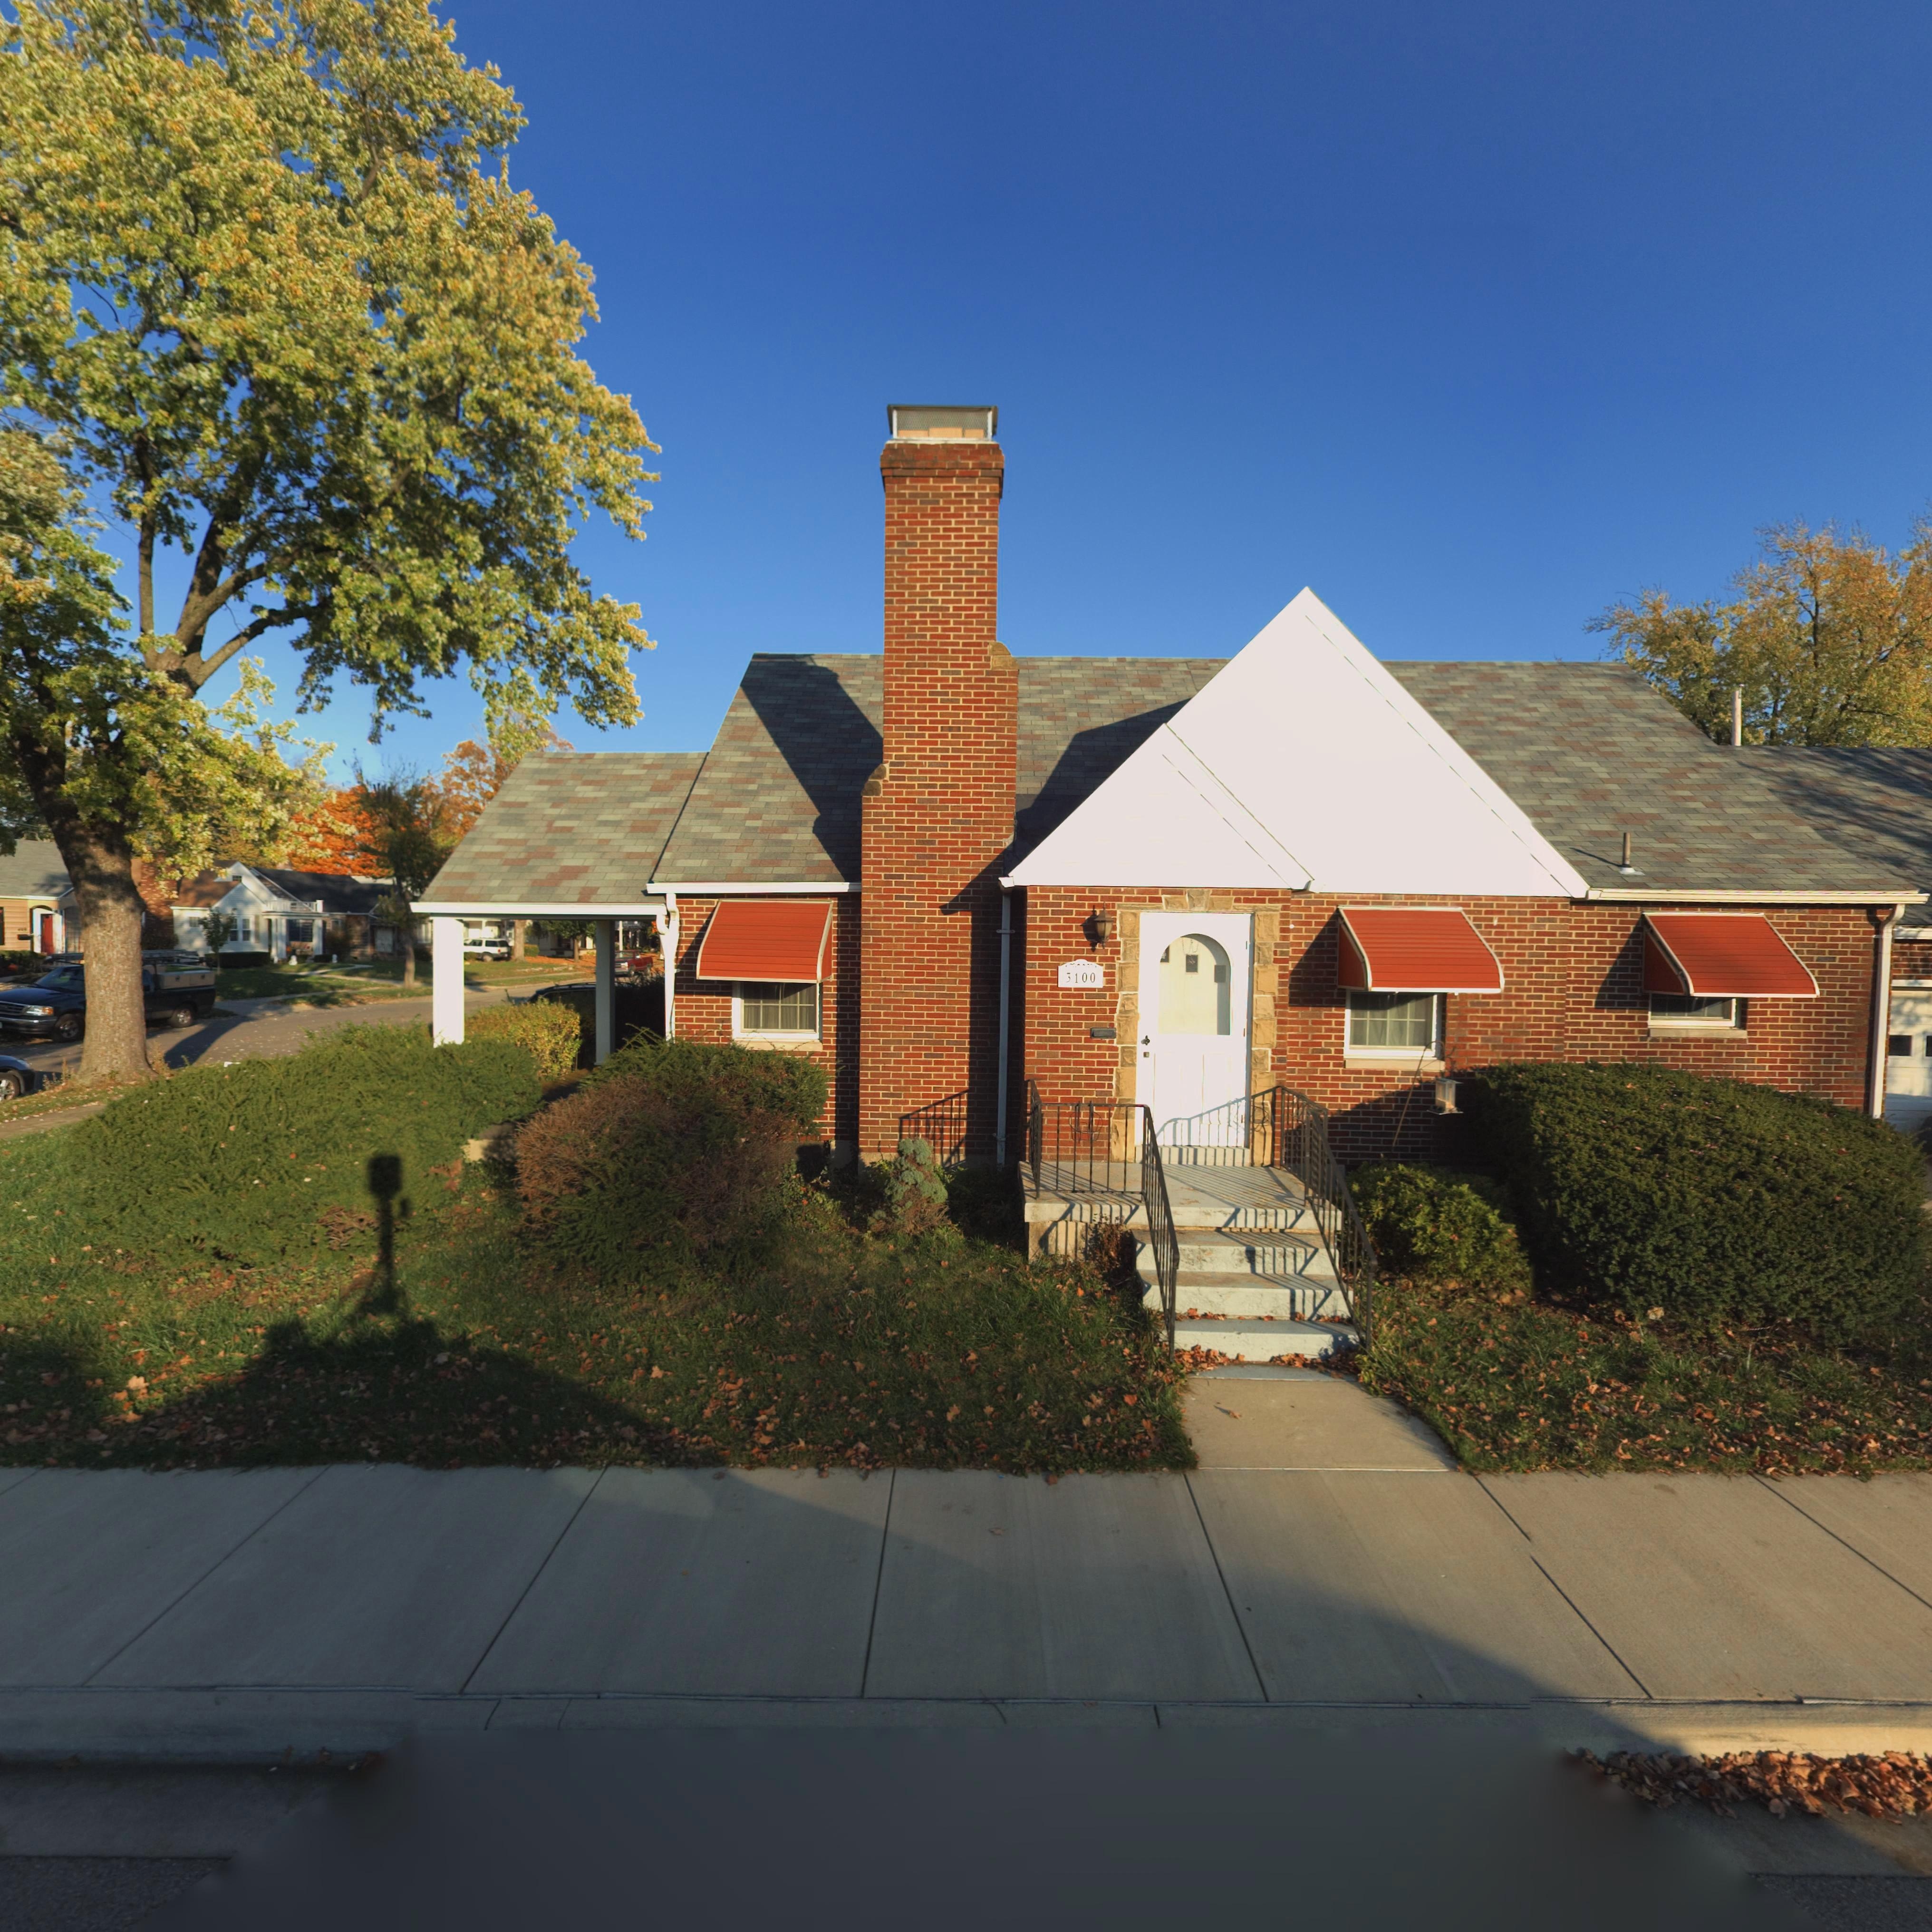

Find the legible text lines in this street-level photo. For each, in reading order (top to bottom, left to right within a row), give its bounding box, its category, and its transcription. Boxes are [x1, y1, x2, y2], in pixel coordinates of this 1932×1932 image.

[1065, 972, 1096, 984] StreetNumber: 3100